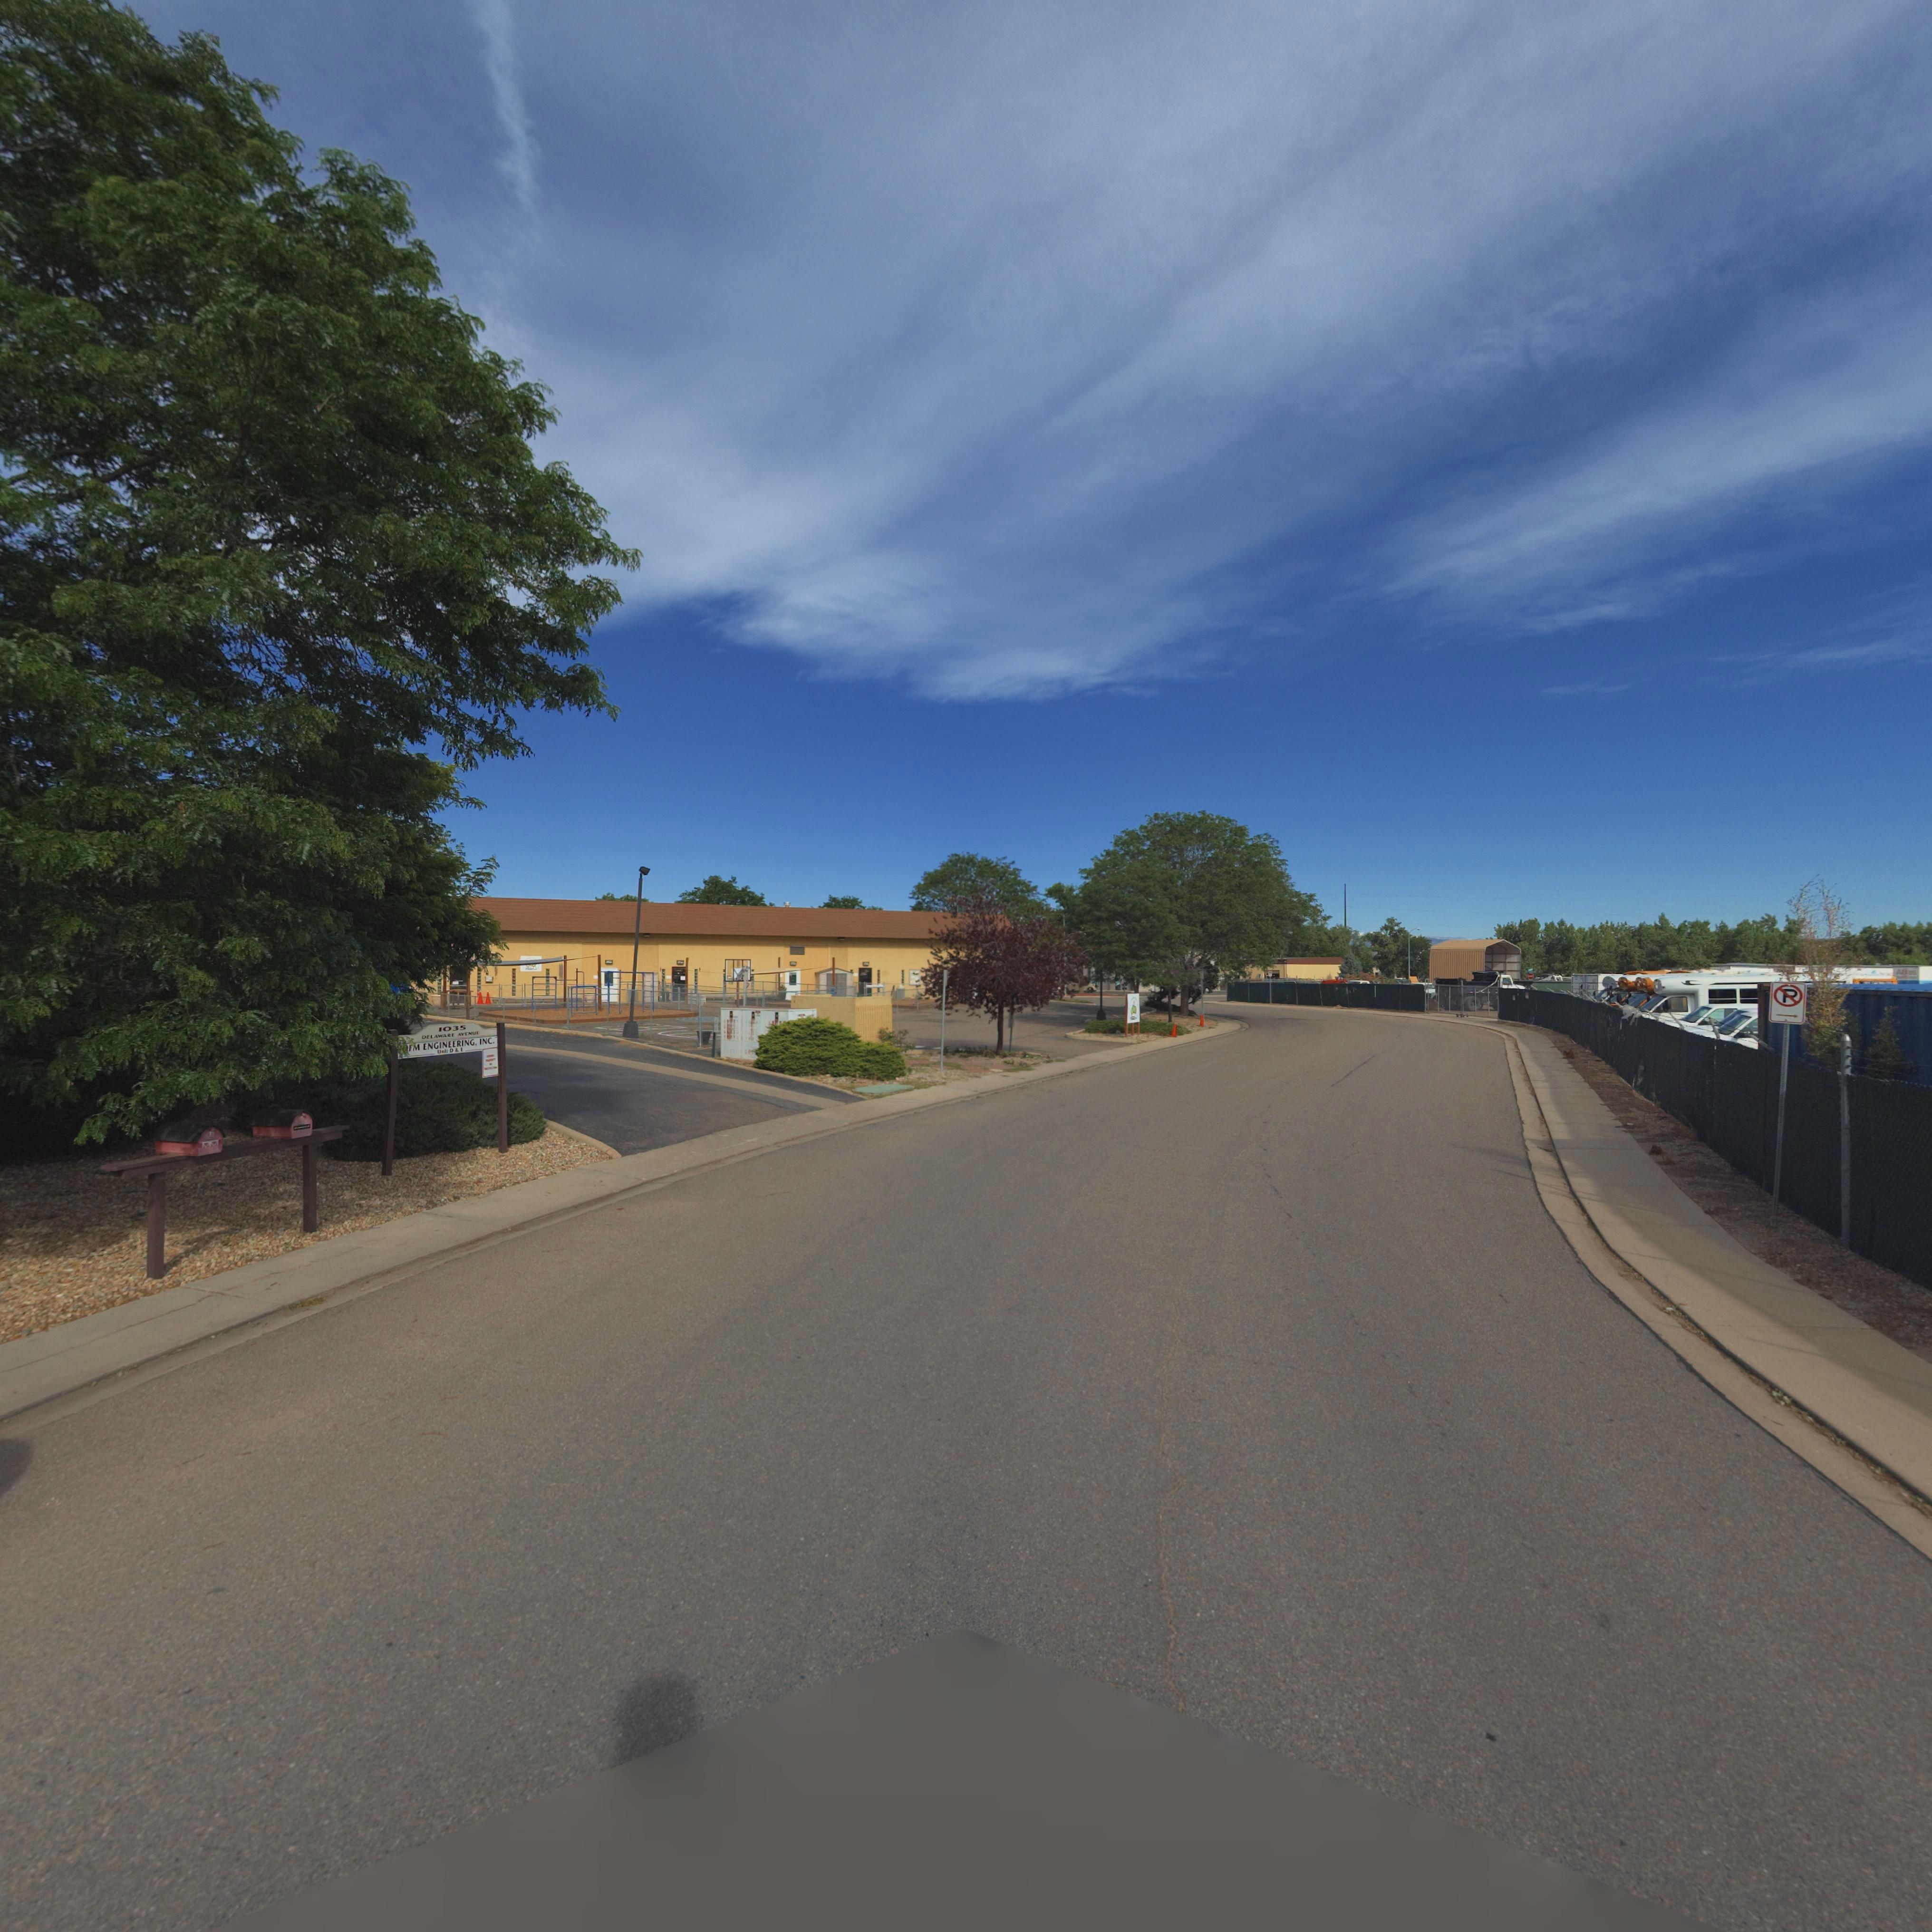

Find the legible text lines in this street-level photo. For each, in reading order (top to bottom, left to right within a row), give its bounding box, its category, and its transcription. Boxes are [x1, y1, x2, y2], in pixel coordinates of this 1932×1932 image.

[438, 1025, 466, 1032] StreetNumber: 1035
[421, 1031, 479, 1039] StreetName: DELAWARE AVENUE
[408, 1037, 495, 1052] BusinessName: FM ENGINEERING, INC
[437, 1047, 464, 1053] SecondaryUnitDesignator: U*it D & E